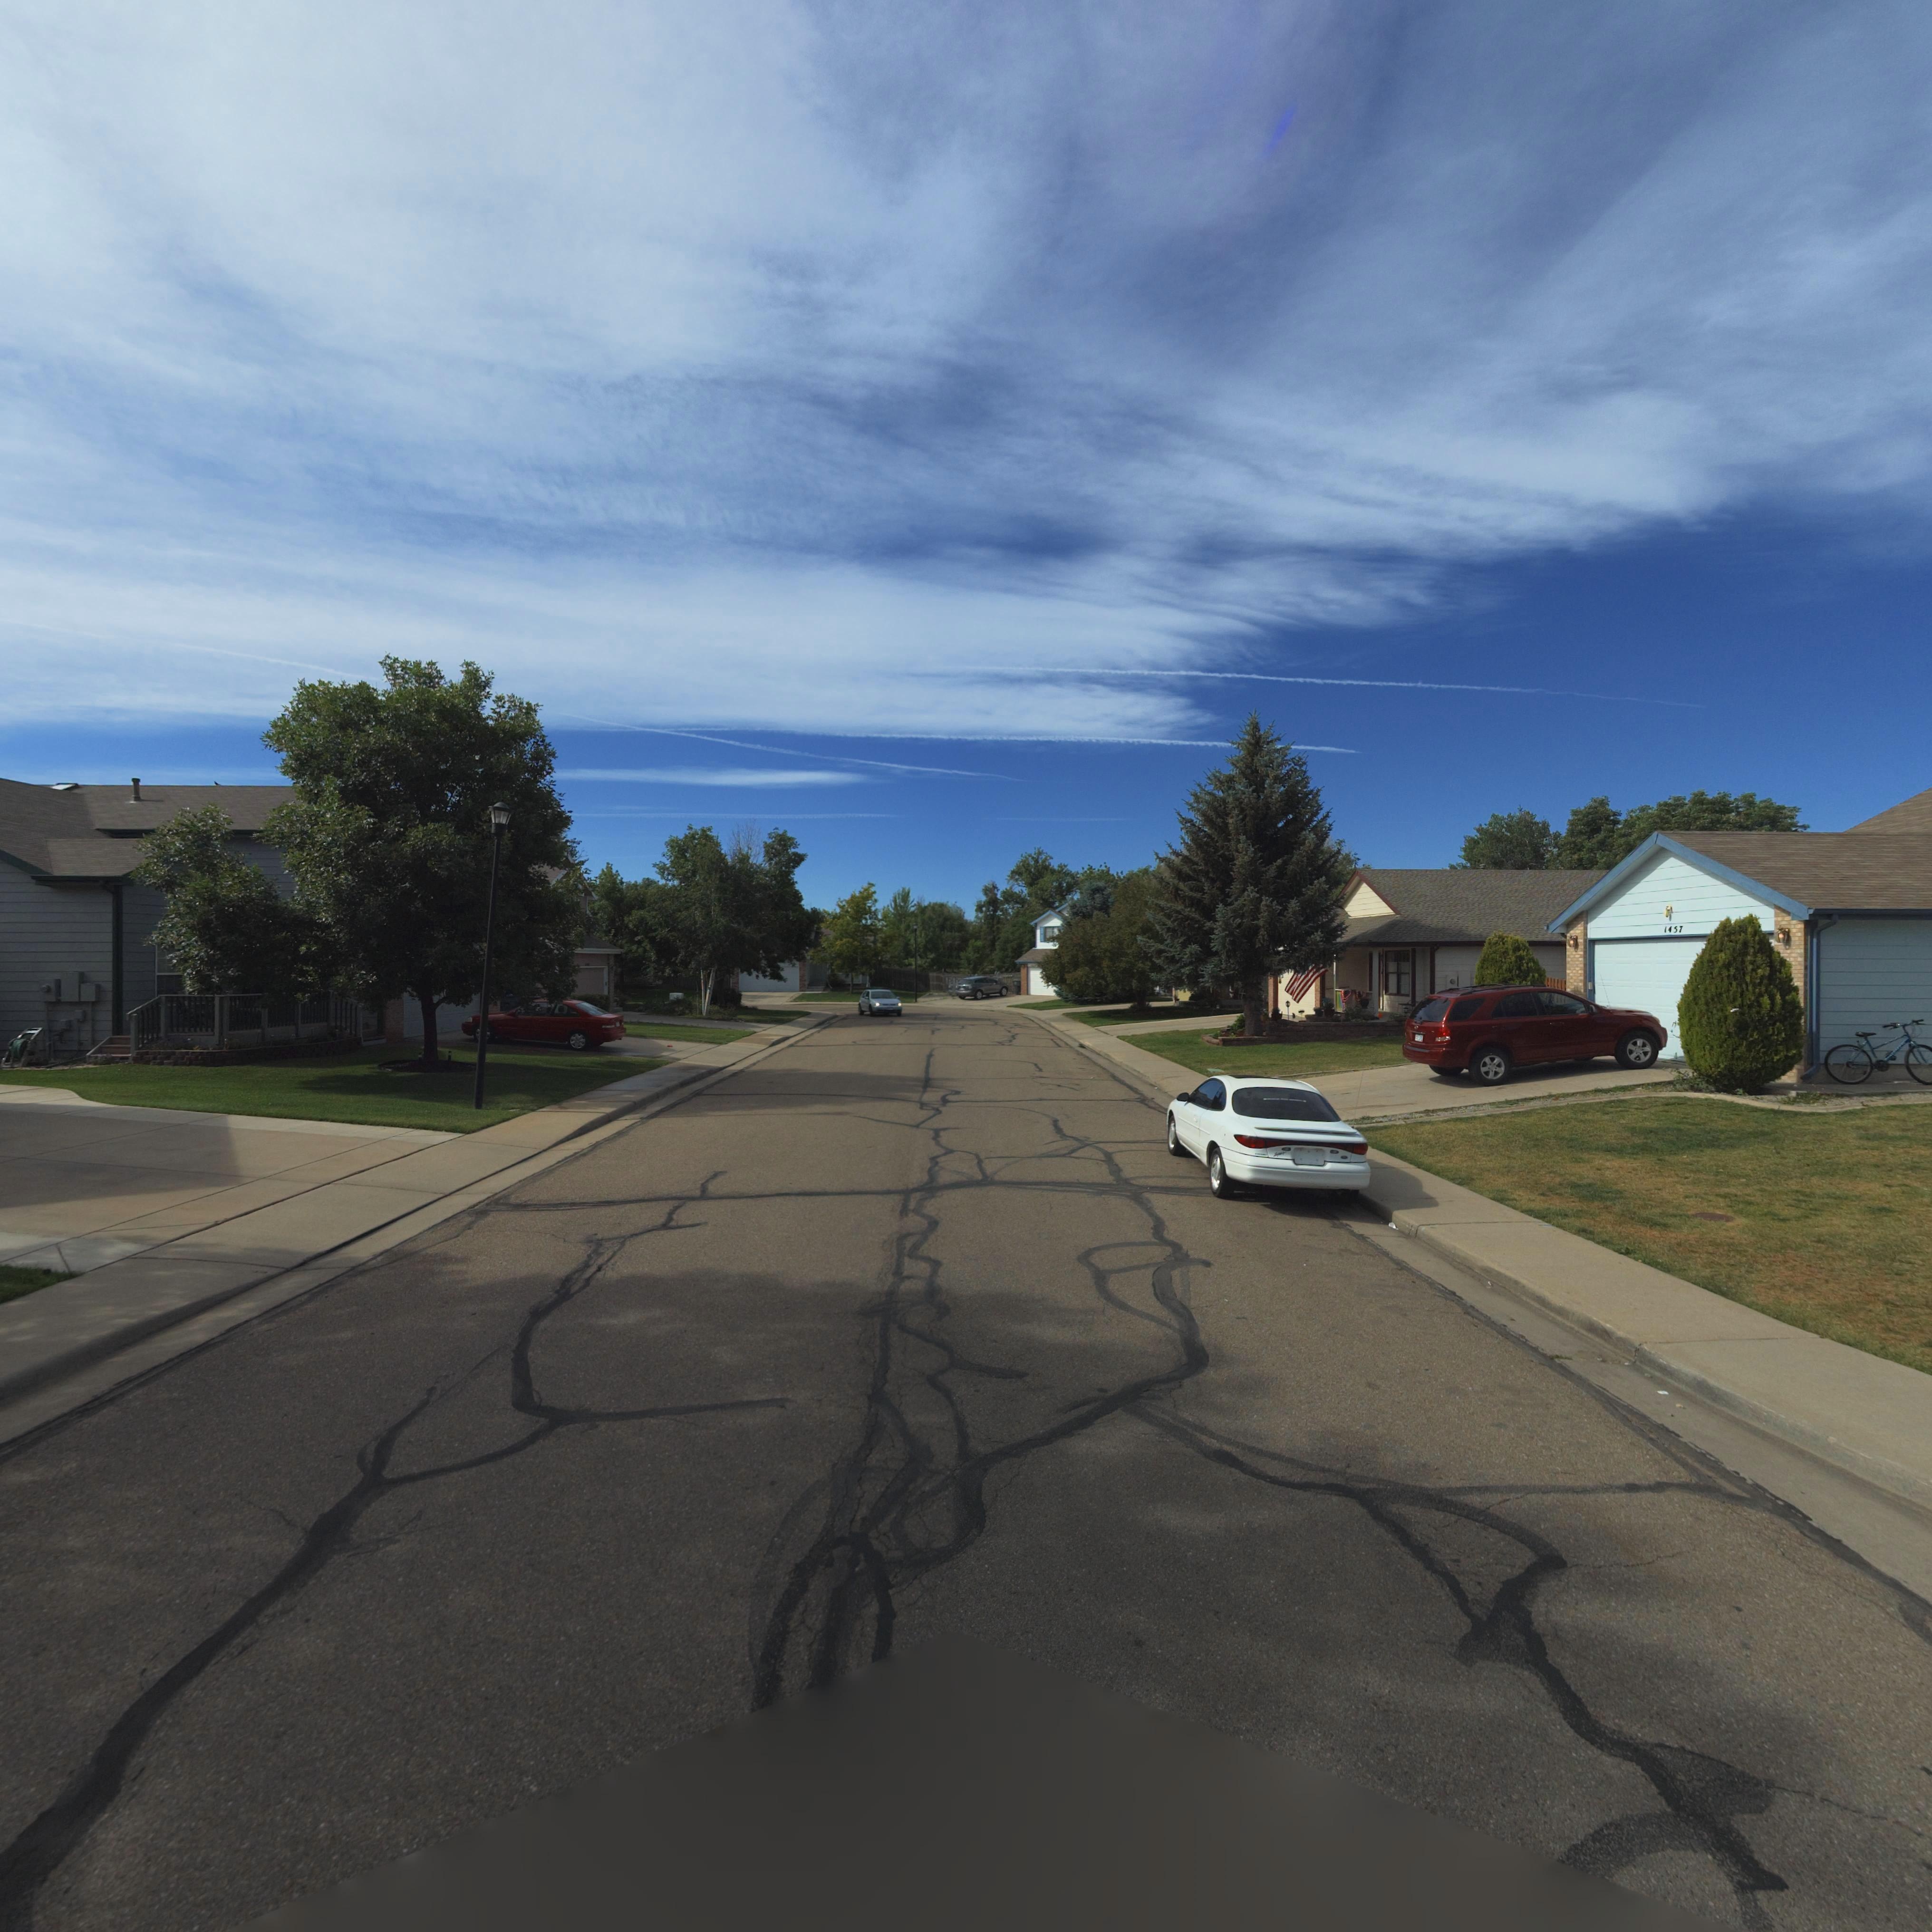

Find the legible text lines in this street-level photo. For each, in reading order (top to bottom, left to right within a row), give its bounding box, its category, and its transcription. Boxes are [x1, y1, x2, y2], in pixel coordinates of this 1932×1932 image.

[1663, 925, 1684, 933] StreetNumber: 1457